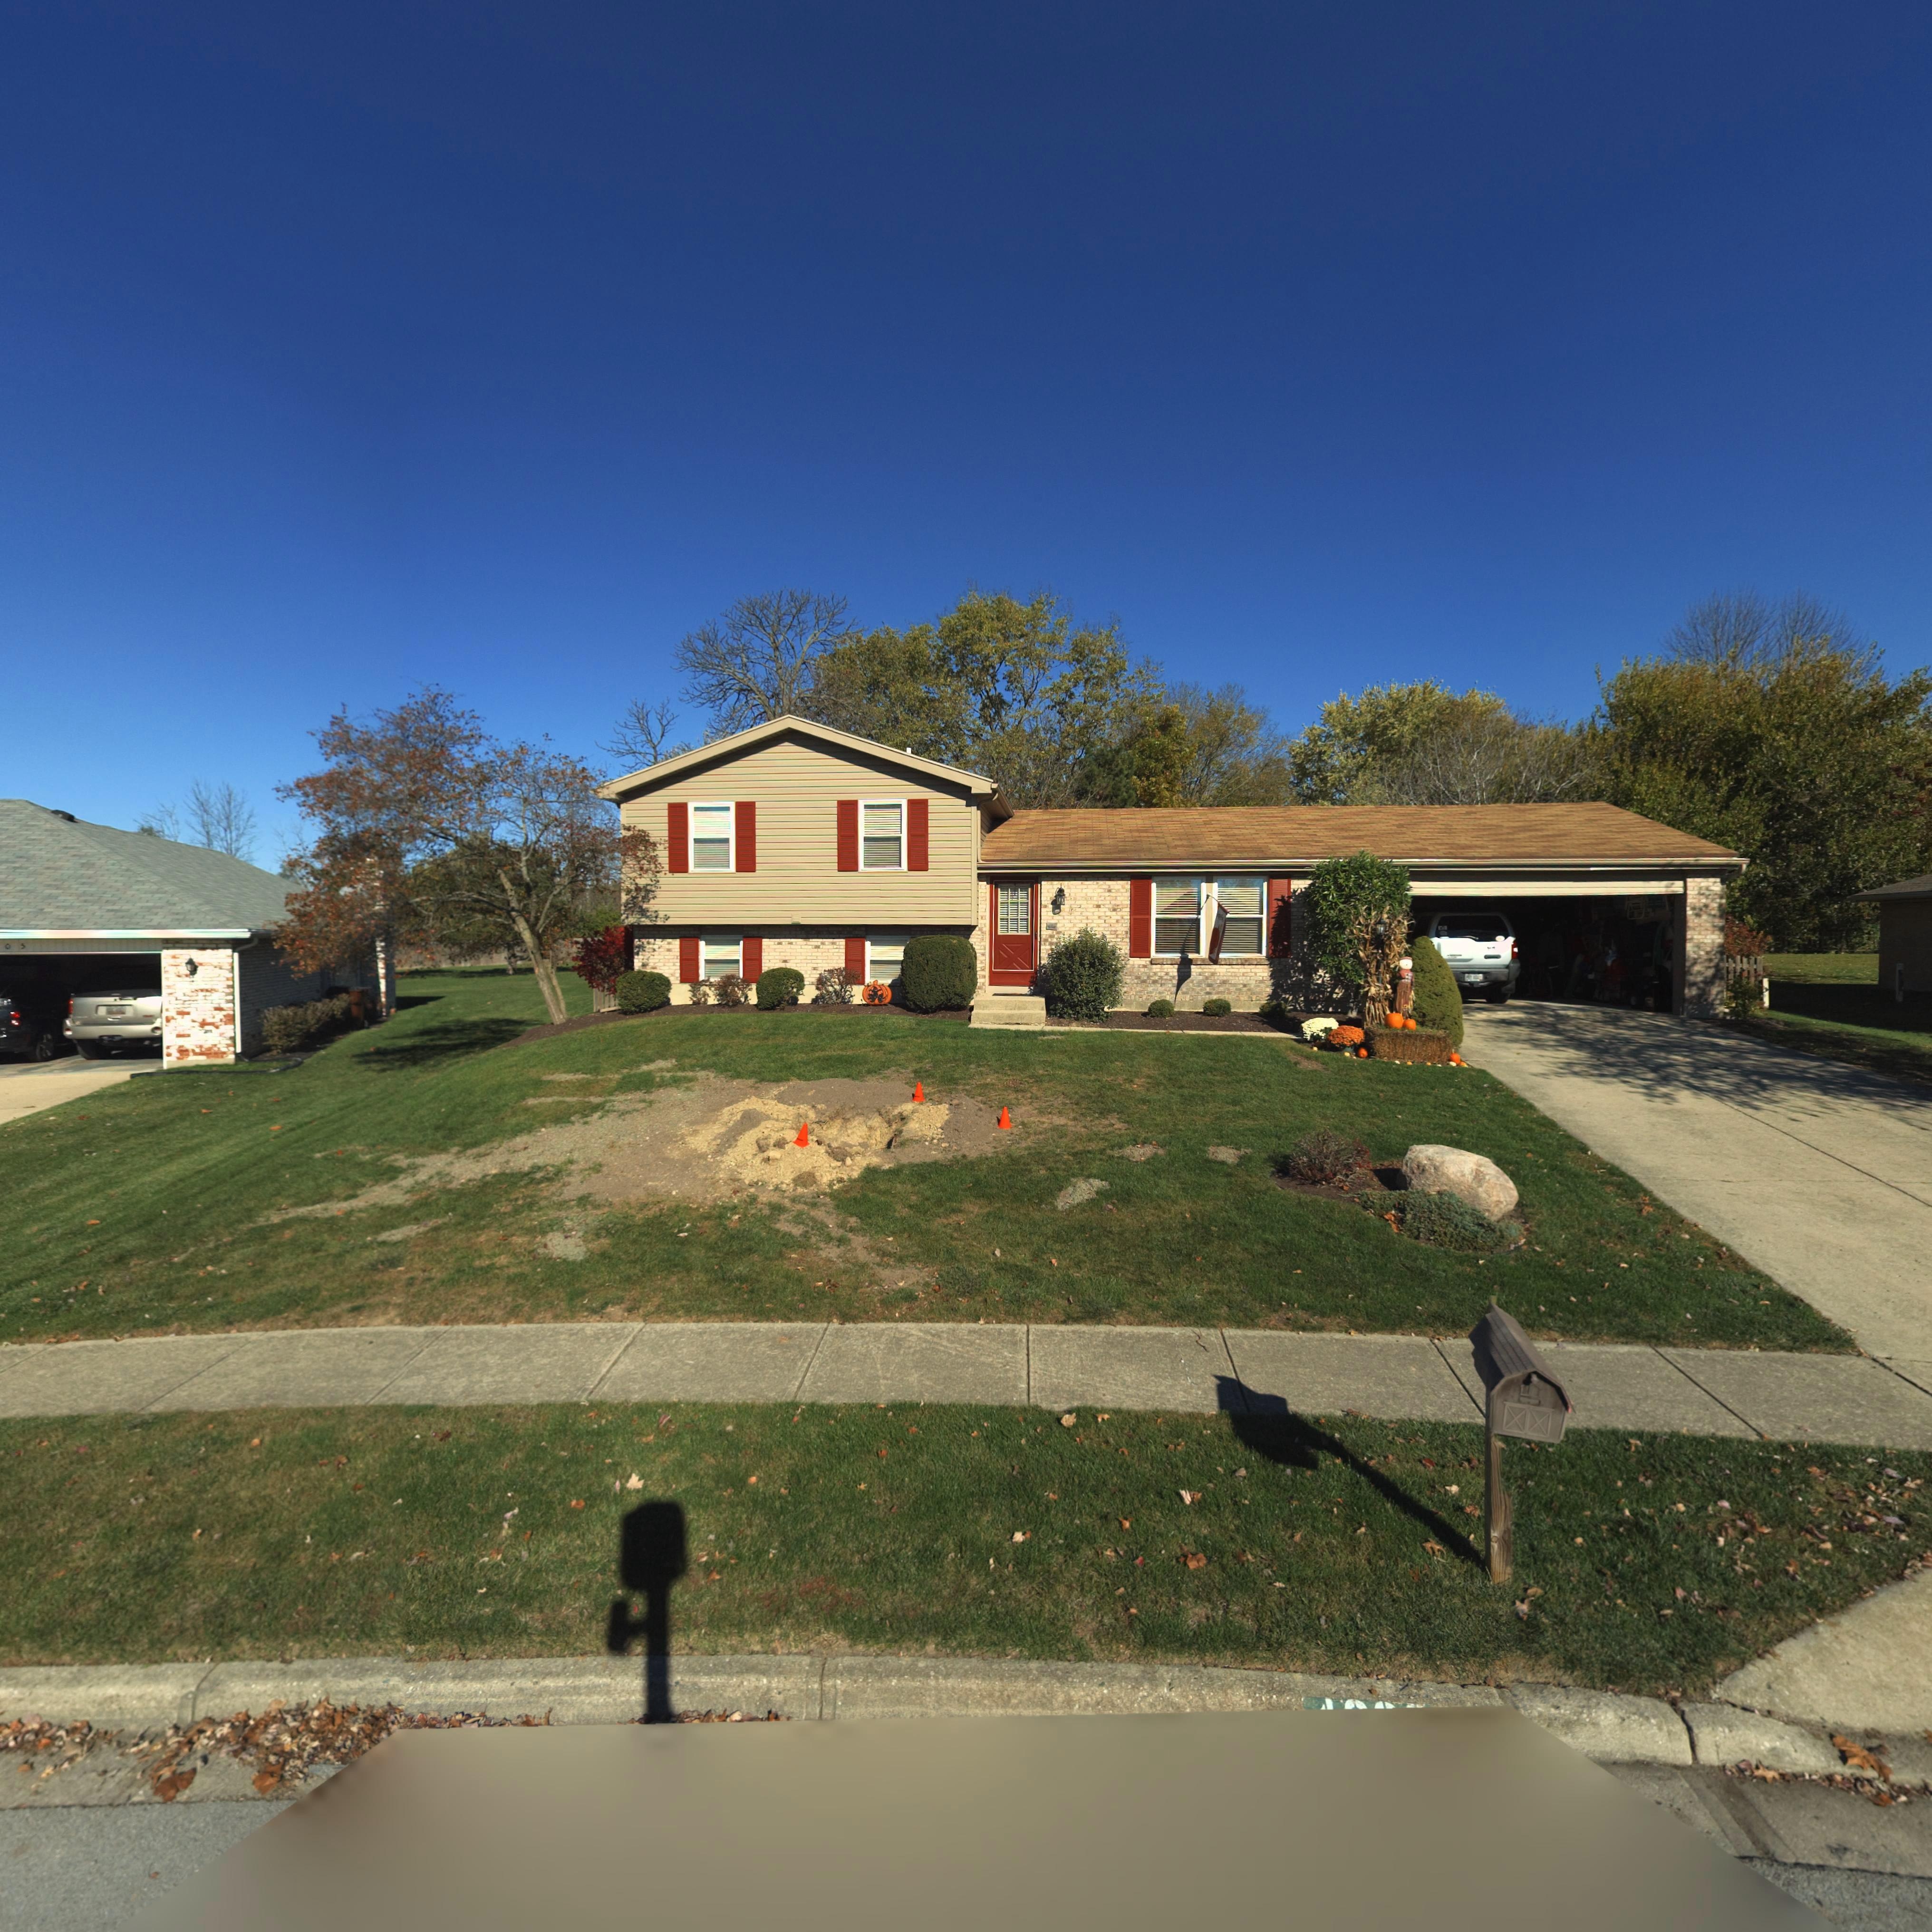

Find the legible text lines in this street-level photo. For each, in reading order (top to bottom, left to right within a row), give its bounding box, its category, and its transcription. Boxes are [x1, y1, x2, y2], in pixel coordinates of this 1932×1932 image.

[4, 942, 26, 950] StreetNumber: 05